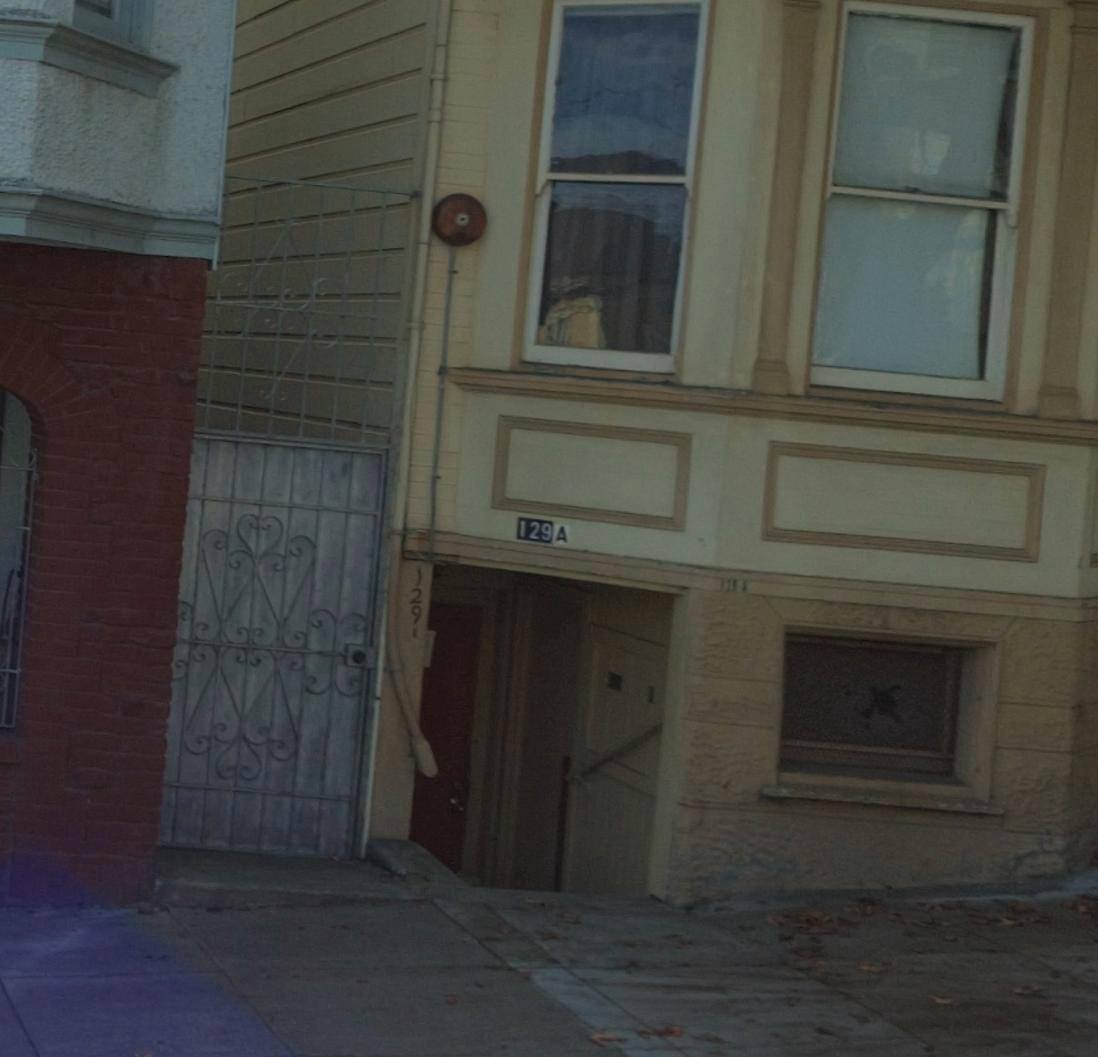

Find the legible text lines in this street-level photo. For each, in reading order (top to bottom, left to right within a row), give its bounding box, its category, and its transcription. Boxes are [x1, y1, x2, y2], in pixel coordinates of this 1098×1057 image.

[517, 518, 569, 545] StreetNumber: 129A
[405, 562, 428, 626] StreetNumber: 129
[719, 577, 751, 594] StreetNumber: 129A